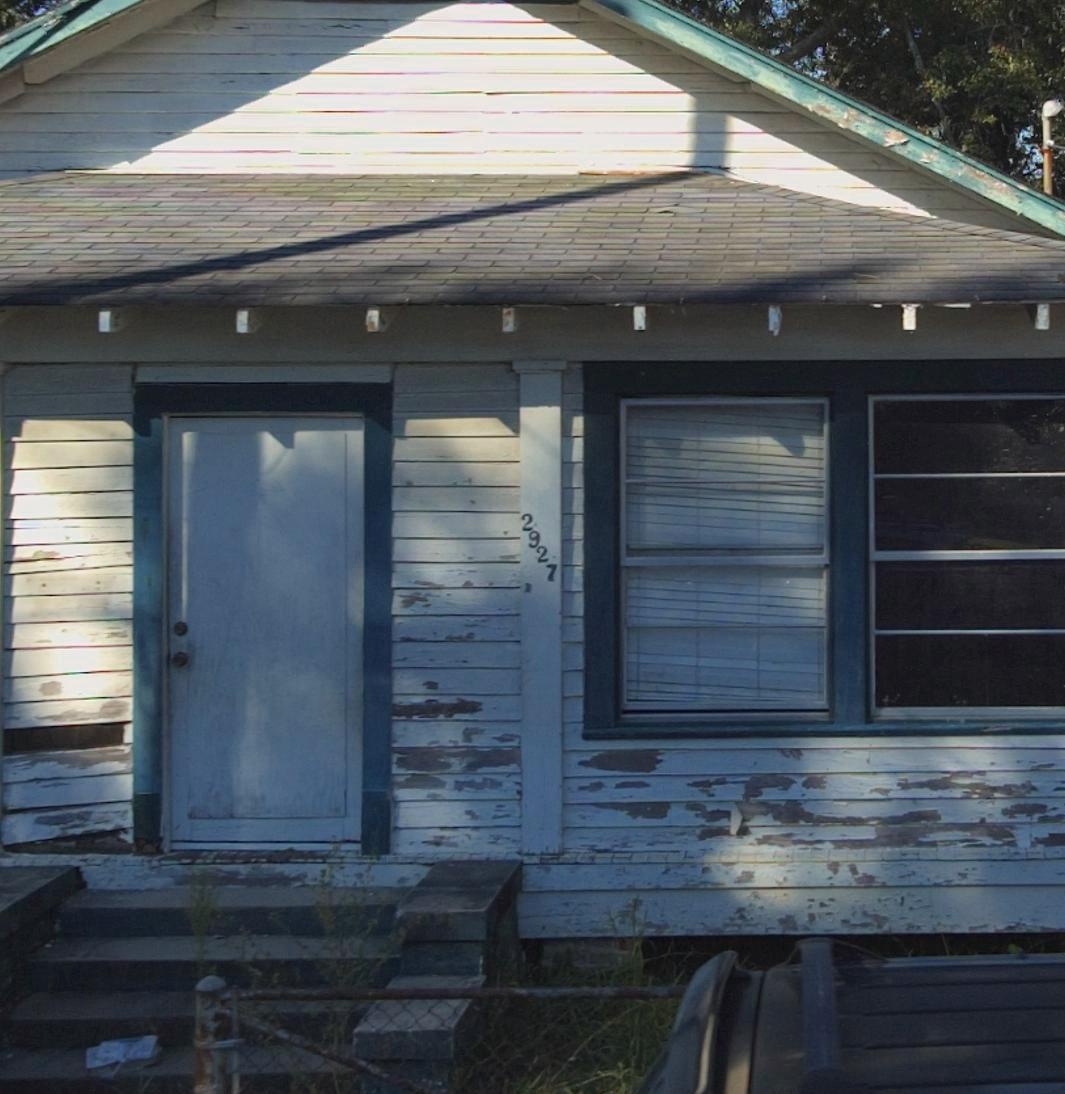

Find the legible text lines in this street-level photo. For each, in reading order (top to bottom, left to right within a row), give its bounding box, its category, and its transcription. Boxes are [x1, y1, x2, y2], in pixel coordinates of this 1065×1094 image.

[518, 510, 562, 586] StreetNumber: 2927